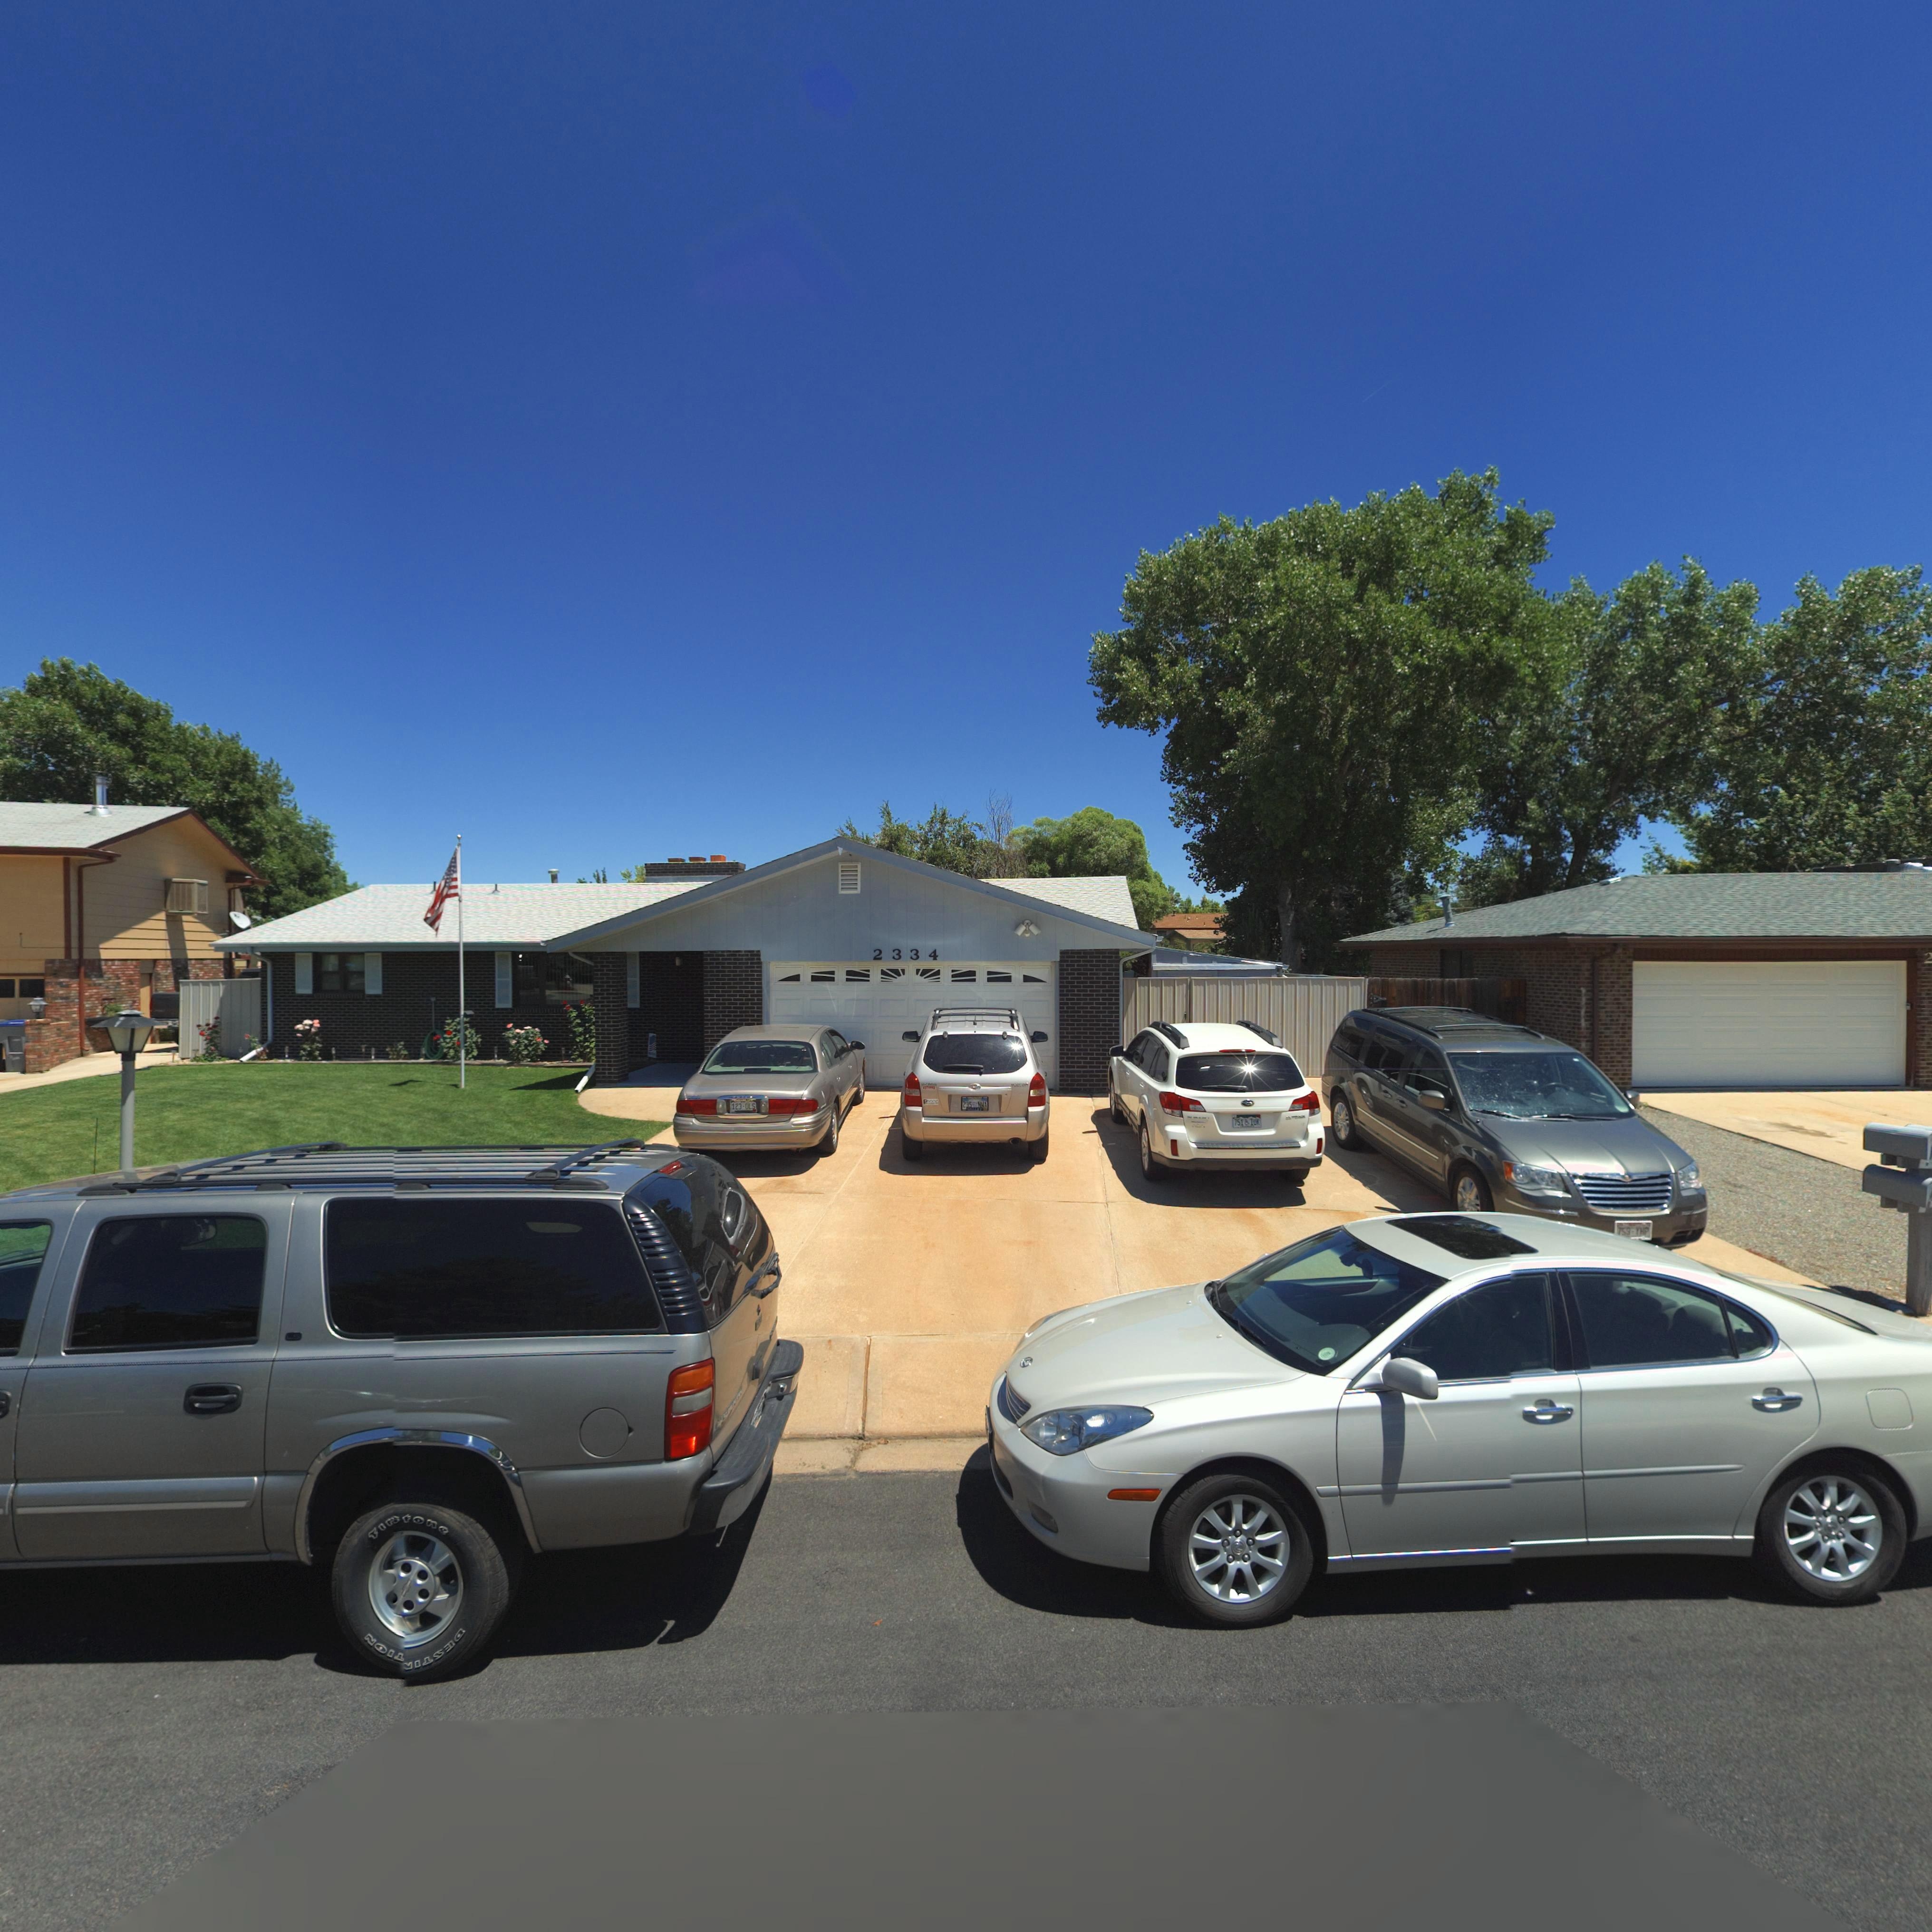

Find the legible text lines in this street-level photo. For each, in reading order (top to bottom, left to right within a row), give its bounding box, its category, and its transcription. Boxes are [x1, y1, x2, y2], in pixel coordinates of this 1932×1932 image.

[873, 948, 938, 961] StreetNumber: 2334